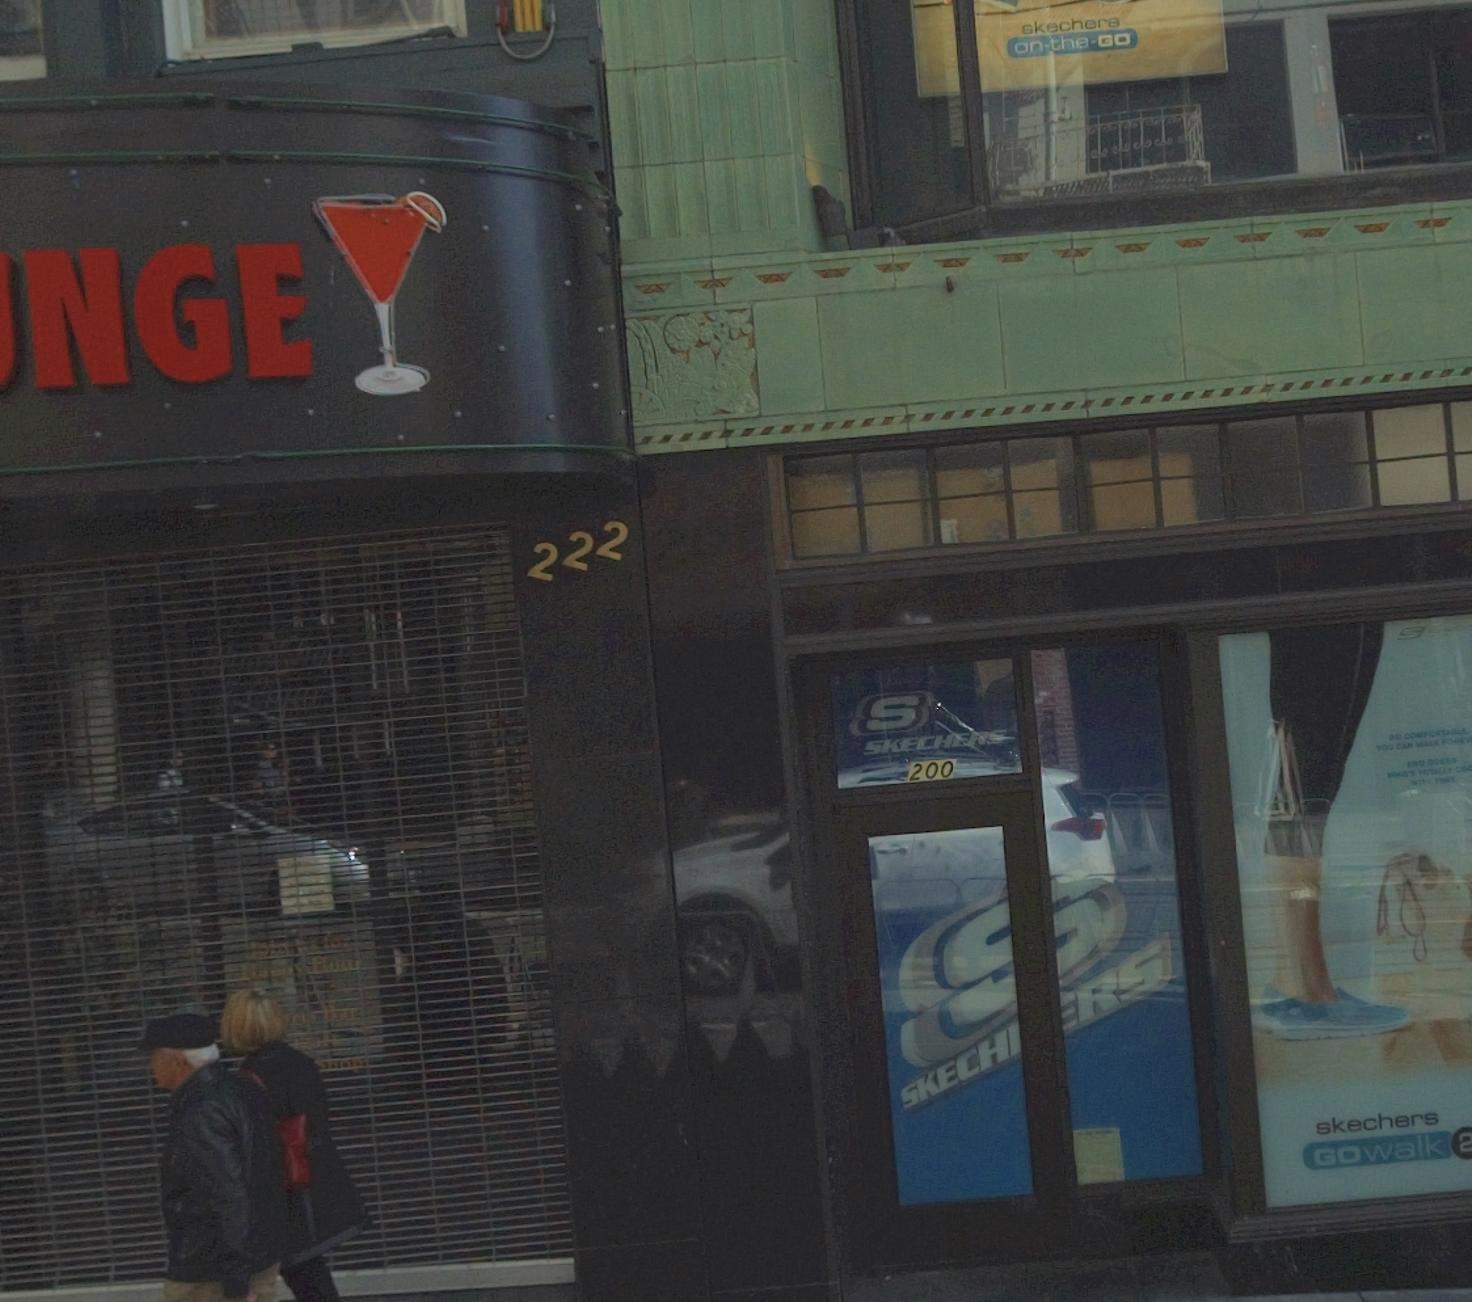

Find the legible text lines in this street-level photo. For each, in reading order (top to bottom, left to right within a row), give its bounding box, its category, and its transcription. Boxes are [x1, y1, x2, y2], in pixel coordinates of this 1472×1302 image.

[1017, 13, 1125, 41] BusinessName: skechers
[1010, 27, 1140, 61] BusinessName: on*the*GO
[17, 232, 322, 404] BusinessName: NGE
[519, 511, 637, 588] StreetNumber: 222
[856, 687, 927, 738] BusinessName: S
[856, 724, 1013, 761] BusinessName: SKECHERS
[905, 755, 960, 786] StreetNumber: 200
[894, 931, 1174, 1118] BusinessName: SKECH*RS
[1308, 1101, 1444, 1142] BusinessName: skechers
[1310, 1128, 1451, 1171] None: GOwalk